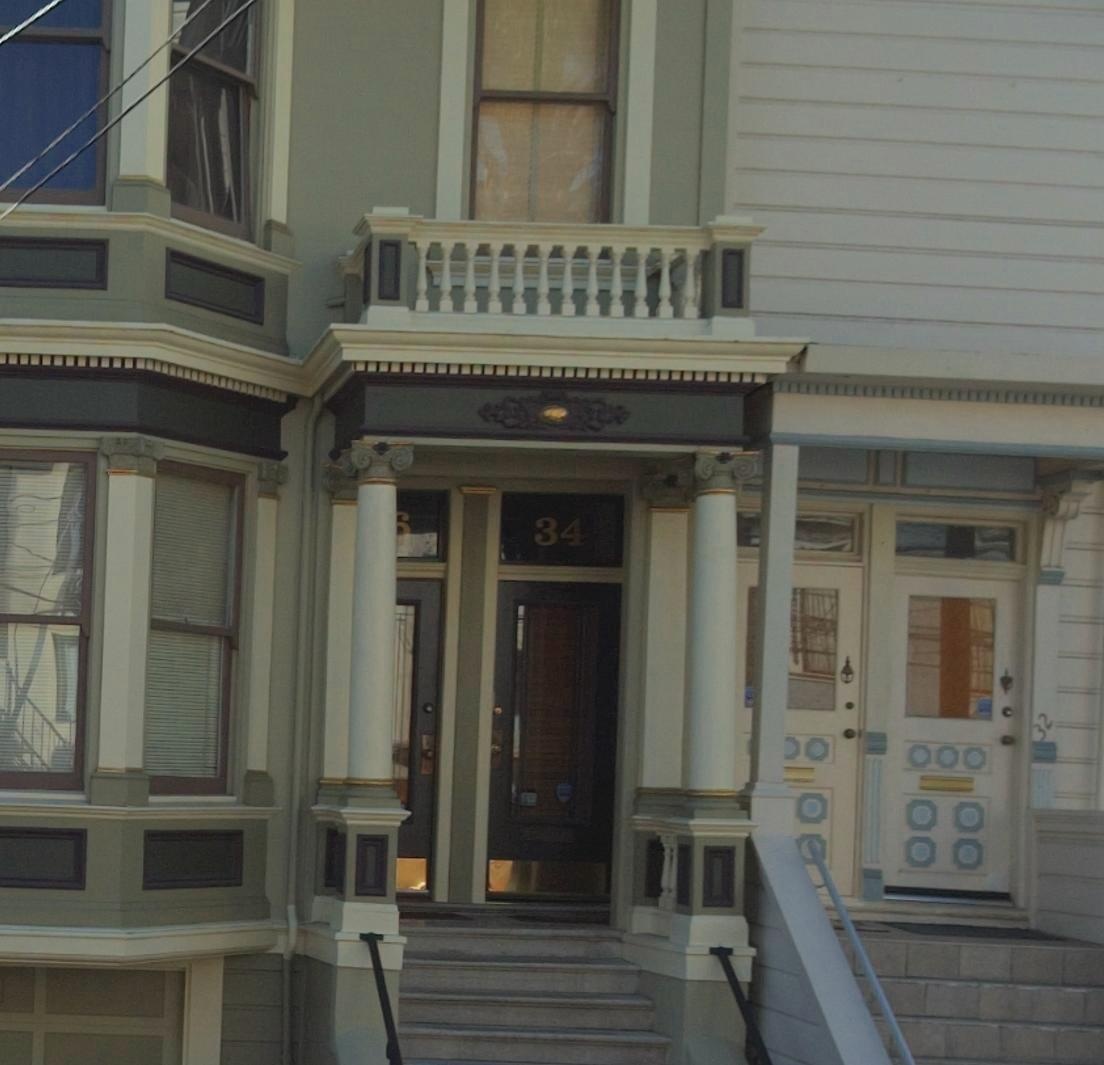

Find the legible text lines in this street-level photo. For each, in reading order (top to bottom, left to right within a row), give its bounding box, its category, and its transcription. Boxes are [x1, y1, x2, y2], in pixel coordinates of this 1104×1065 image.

[533, 515, 586, 547] StreetNumber: 34
[1028, 708, 1056, 744] StreetNumber: 32